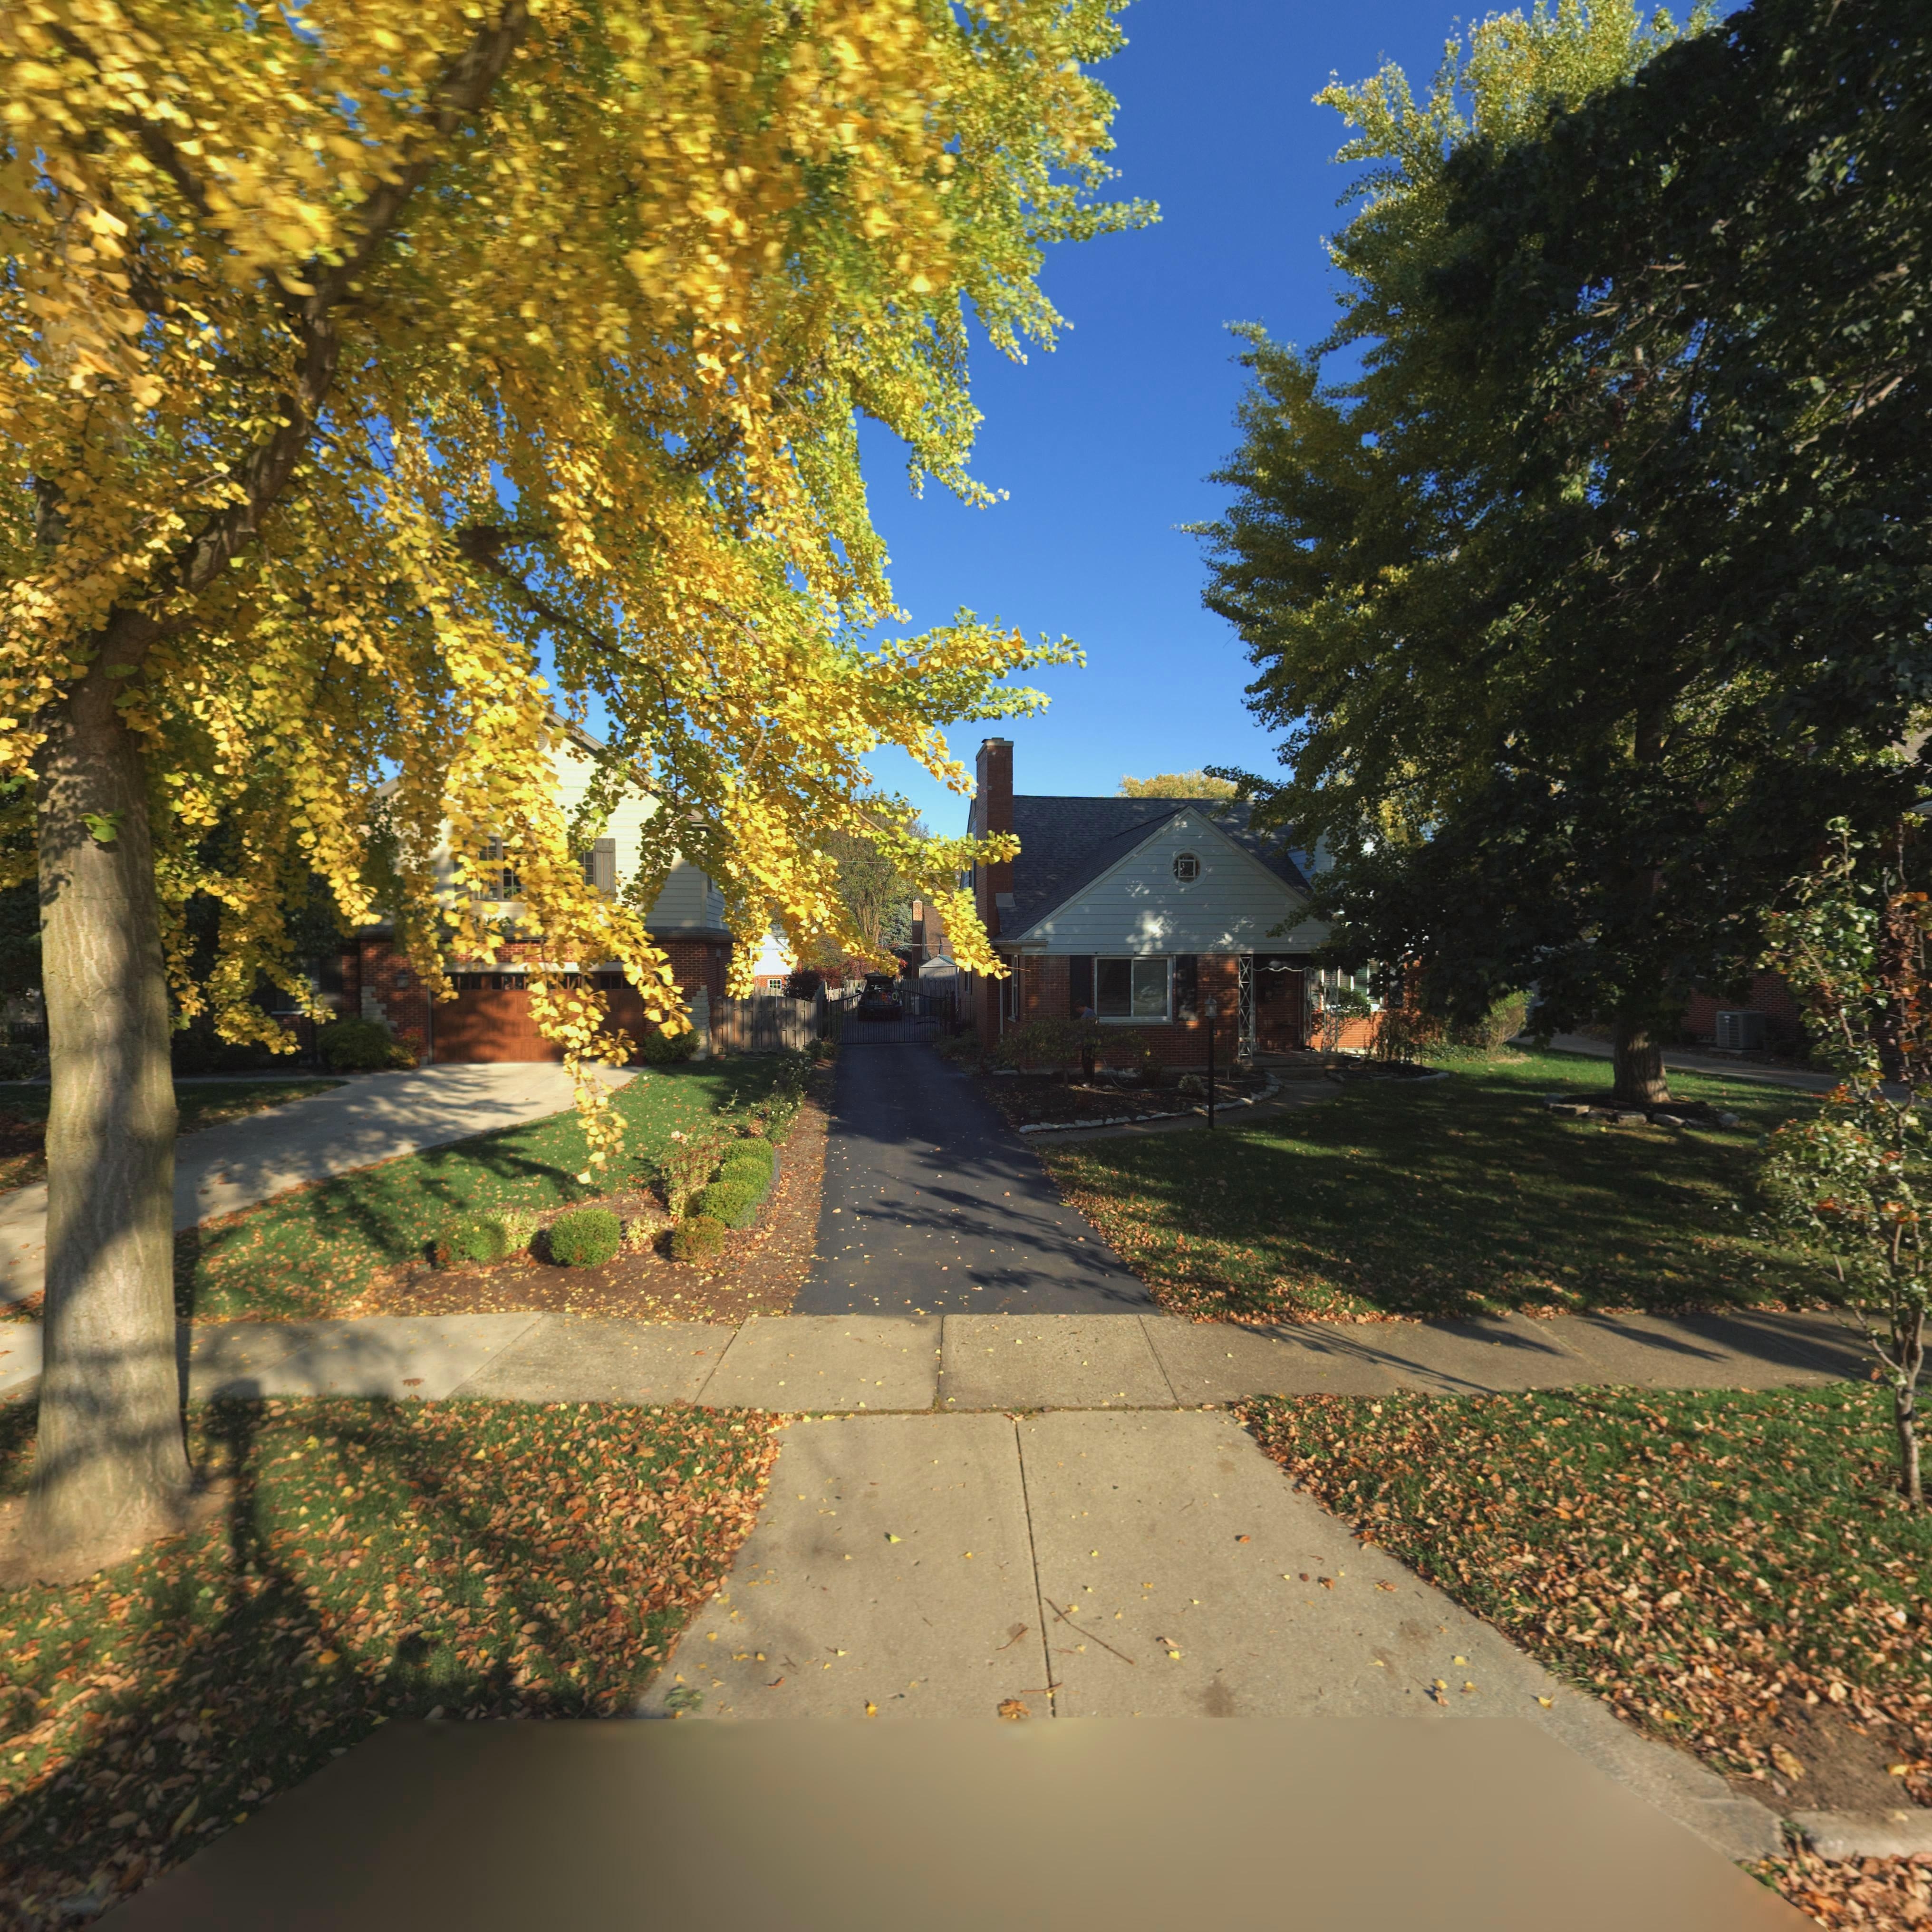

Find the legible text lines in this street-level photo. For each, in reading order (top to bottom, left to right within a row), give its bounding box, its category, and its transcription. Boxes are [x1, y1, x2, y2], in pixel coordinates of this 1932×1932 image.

[1273, 980, 1284, 985] StreetNumber: 540